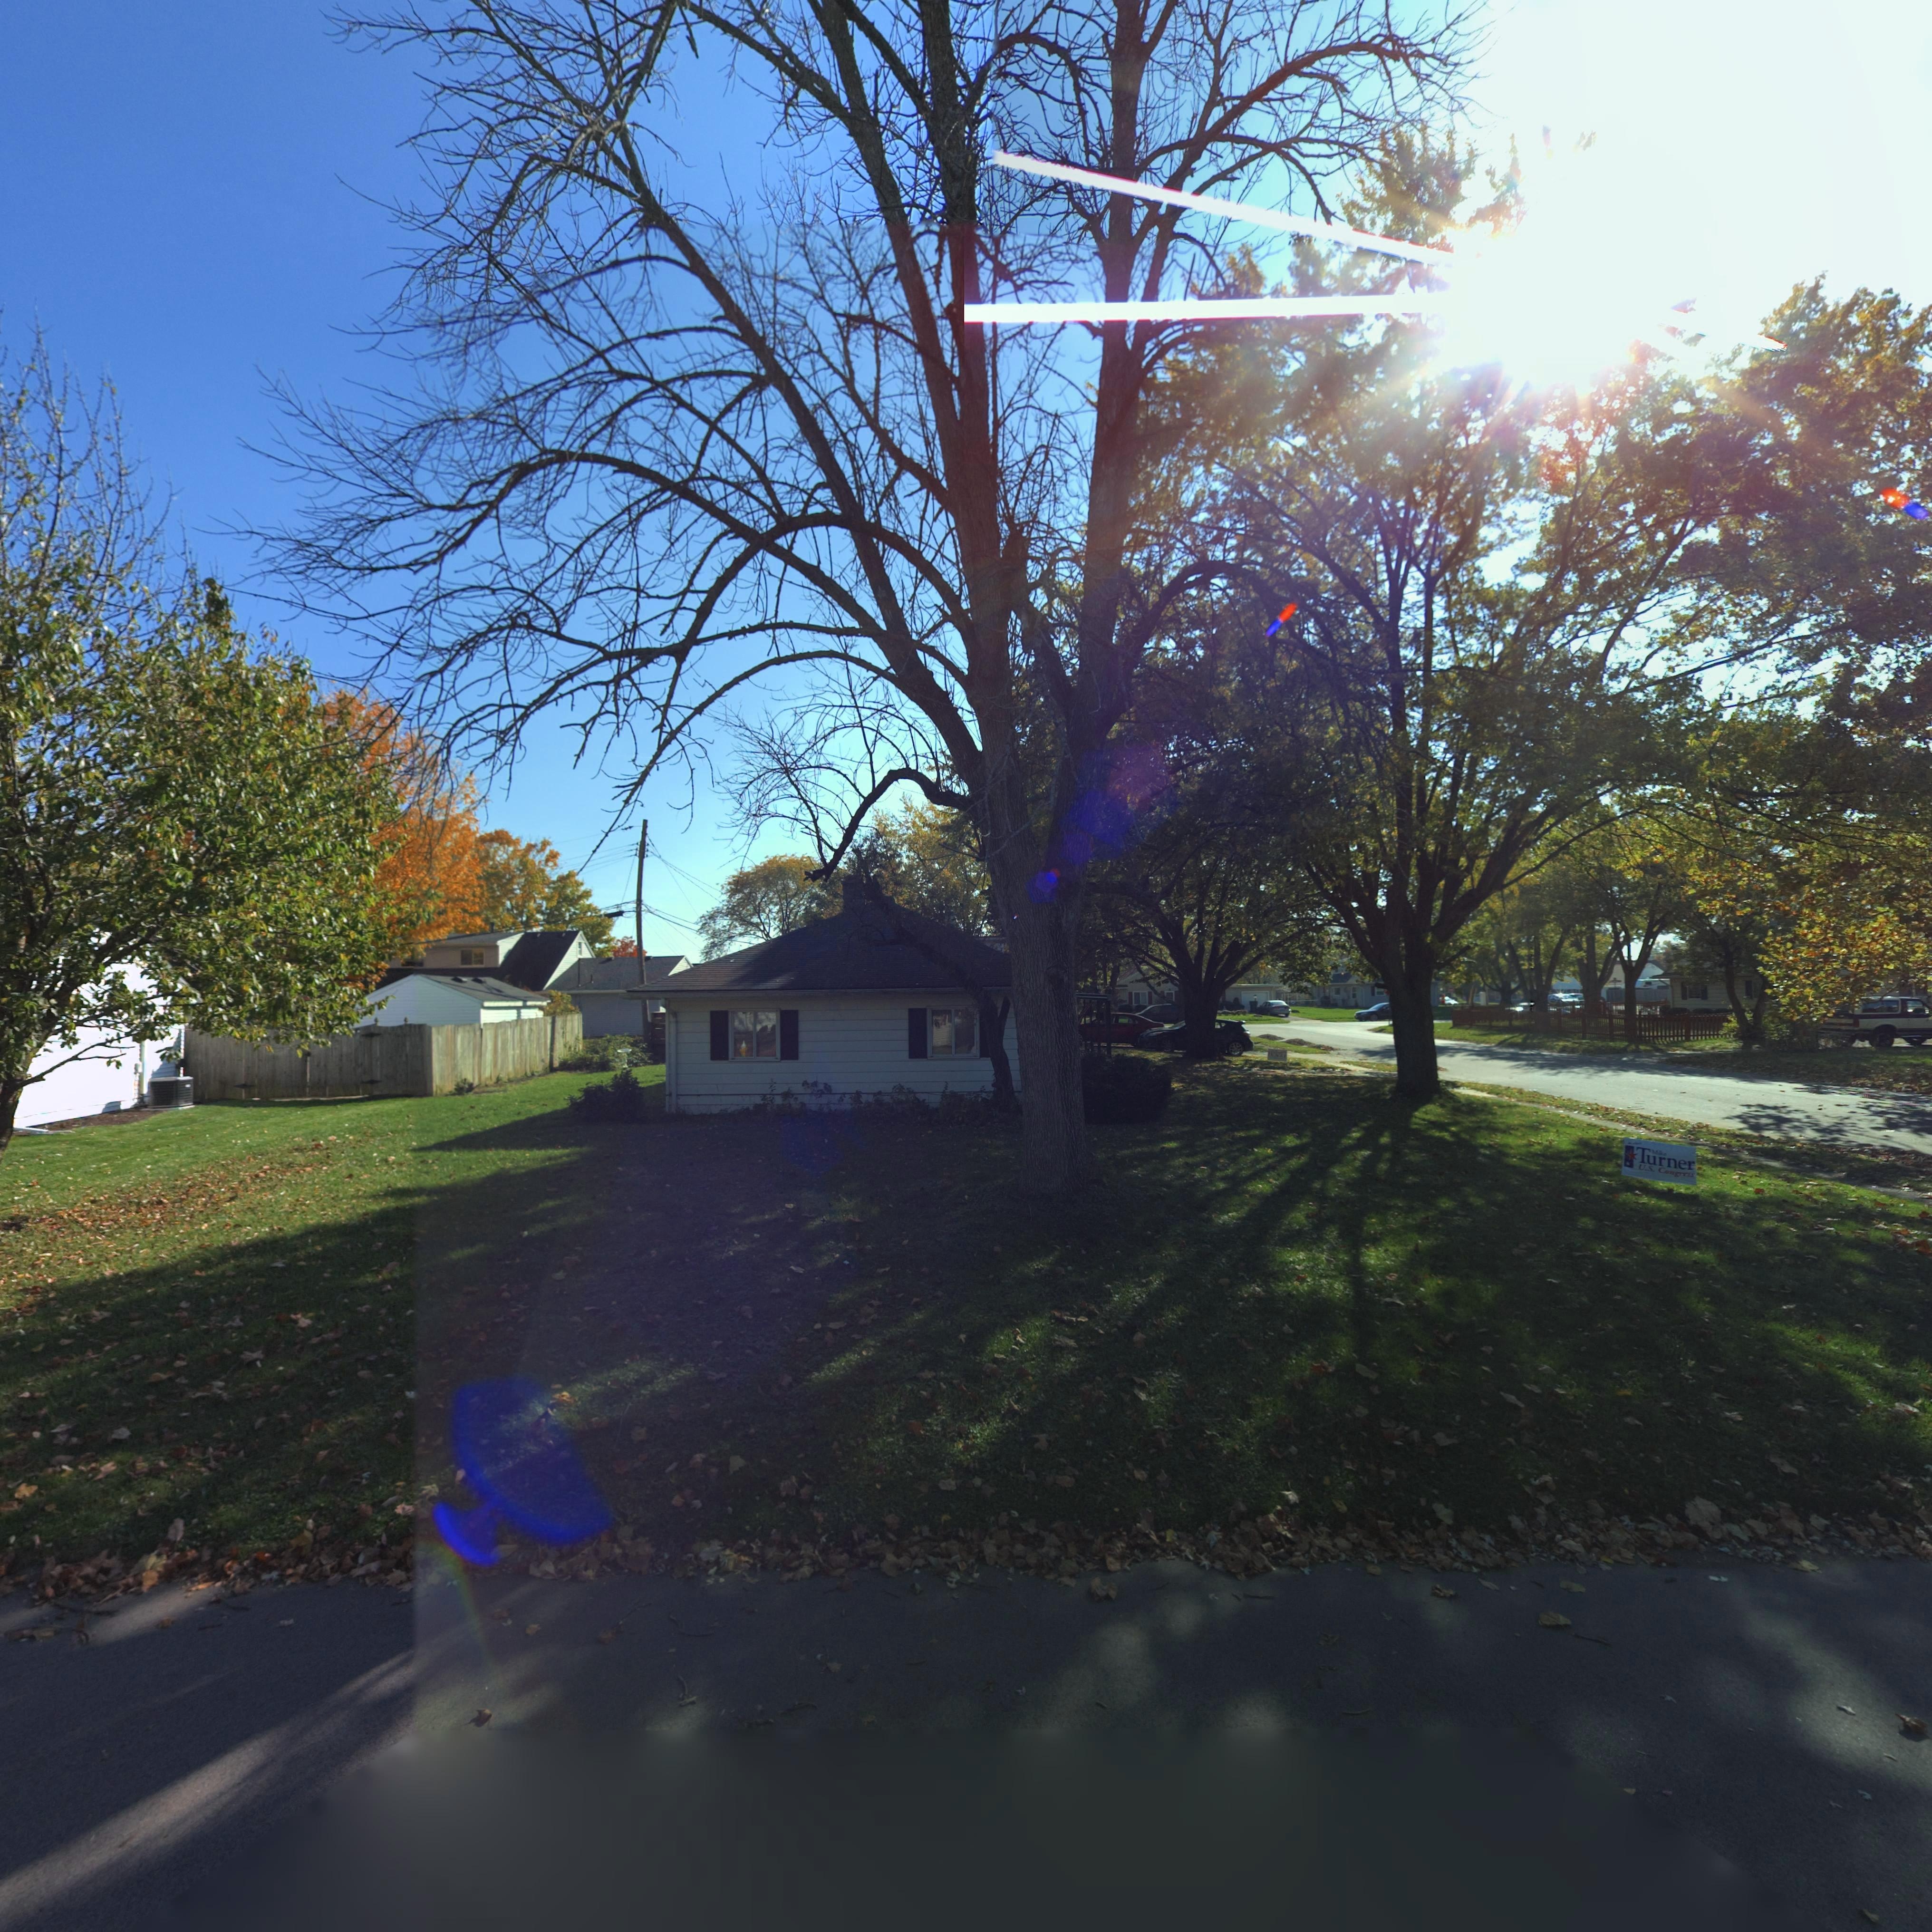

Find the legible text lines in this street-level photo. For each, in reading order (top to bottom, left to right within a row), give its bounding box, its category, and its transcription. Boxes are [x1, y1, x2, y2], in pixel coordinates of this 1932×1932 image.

[1650, 1147, 1669, 1158] None: Mike
[1633, 1145, 1697, 1172] None: Turner
[1637, 1162, 1696, 1179] None: U.S. Congress